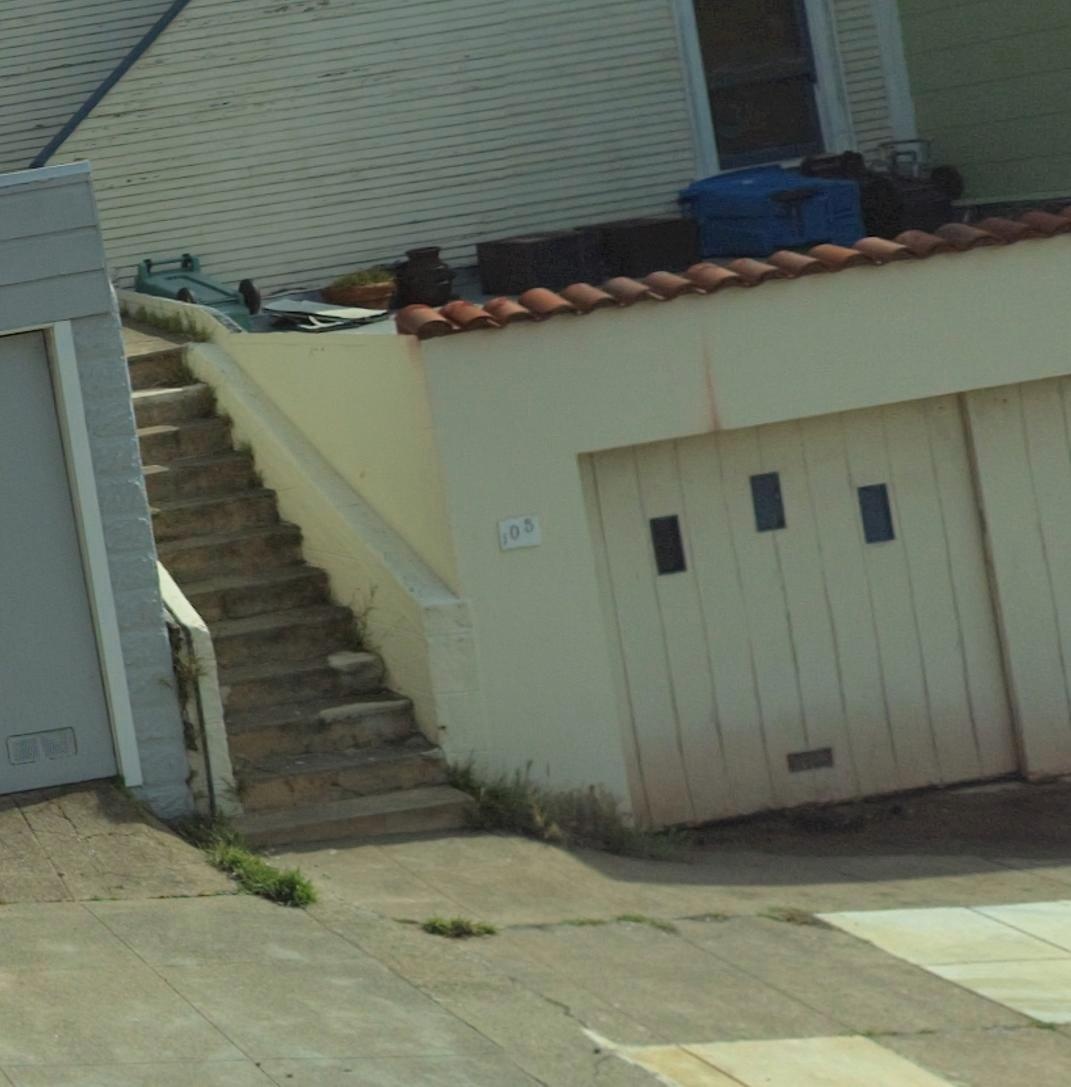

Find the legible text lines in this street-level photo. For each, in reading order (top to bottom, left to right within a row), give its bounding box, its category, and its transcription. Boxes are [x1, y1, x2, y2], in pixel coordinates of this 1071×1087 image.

[501, 513, 536, 551] StreetNumber: *05